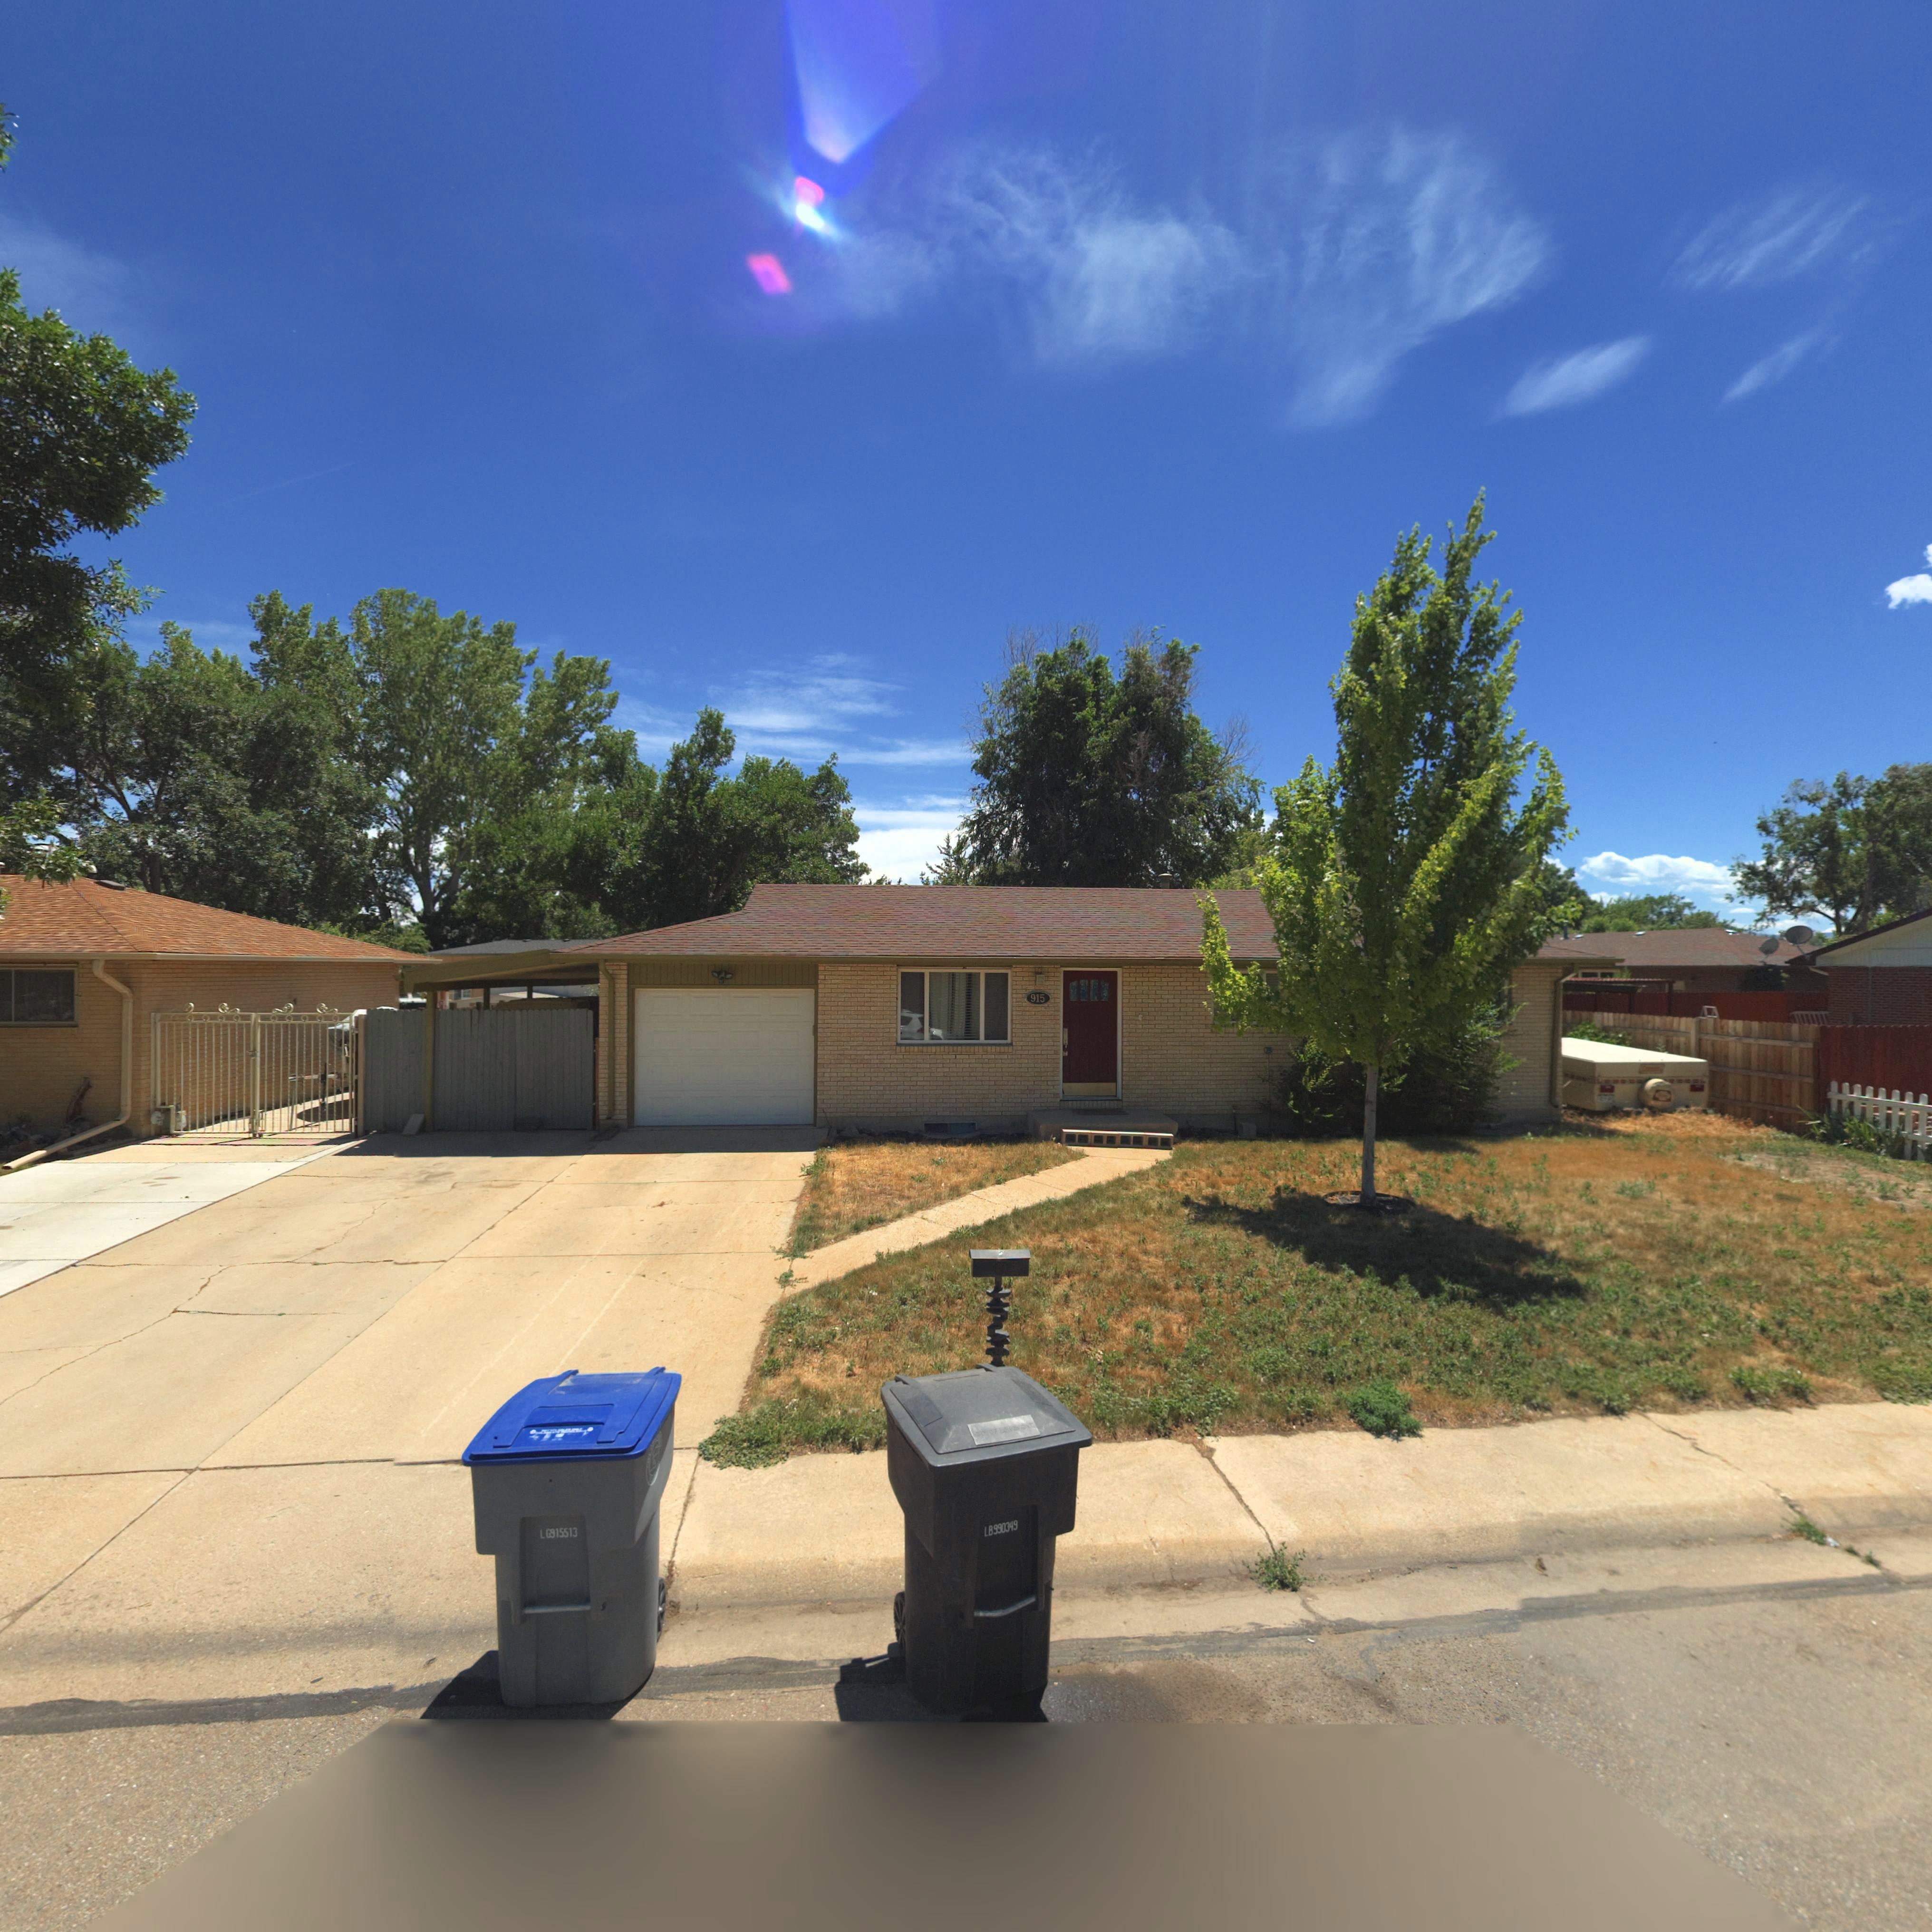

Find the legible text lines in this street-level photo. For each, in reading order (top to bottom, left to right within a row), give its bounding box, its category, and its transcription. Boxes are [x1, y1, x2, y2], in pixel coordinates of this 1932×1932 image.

[1030, 994, 1045, 1002] StreetNumber: 915